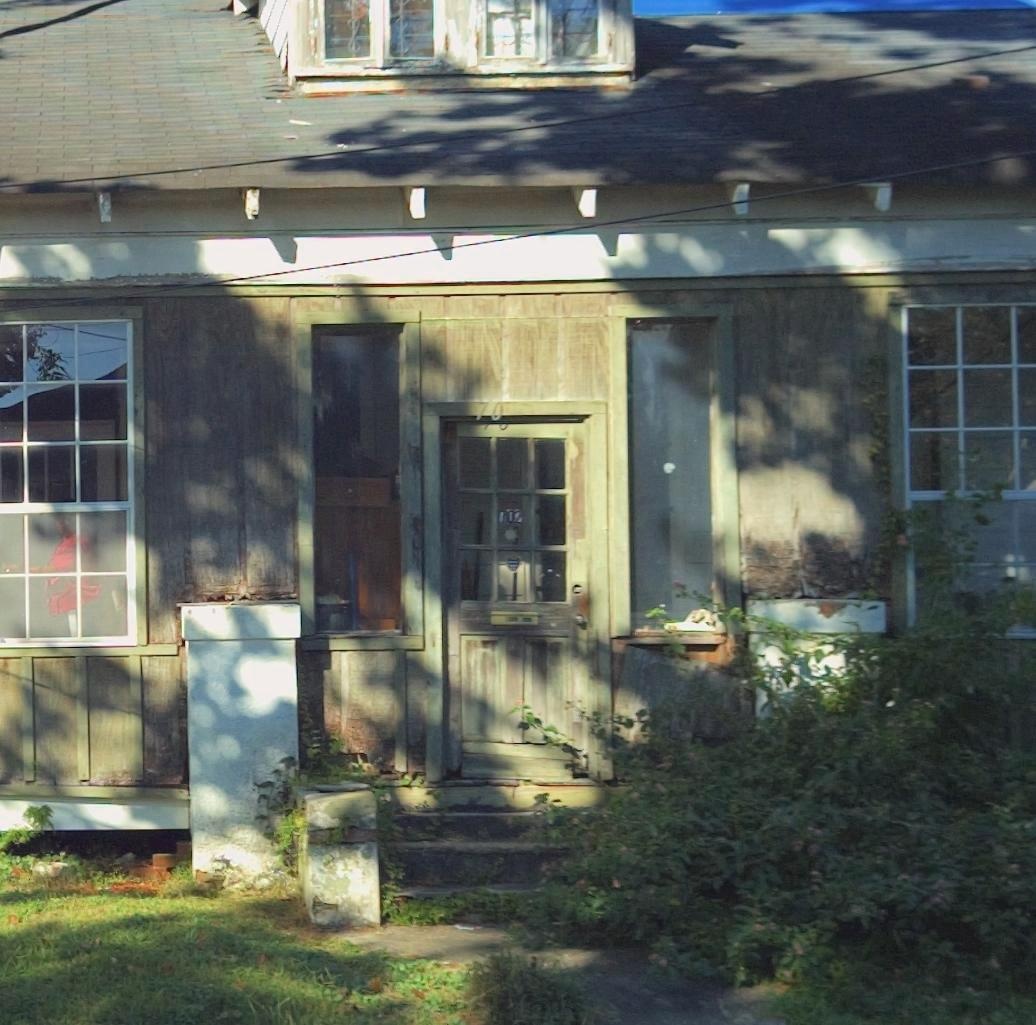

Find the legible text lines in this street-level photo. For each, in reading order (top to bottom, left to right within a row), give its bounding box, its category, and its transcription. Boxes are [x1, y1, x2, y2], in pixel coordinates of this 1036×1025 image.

[473, 399, 507, 425] StreetNumber: 70
[497, 506, 516, 524] None: 17